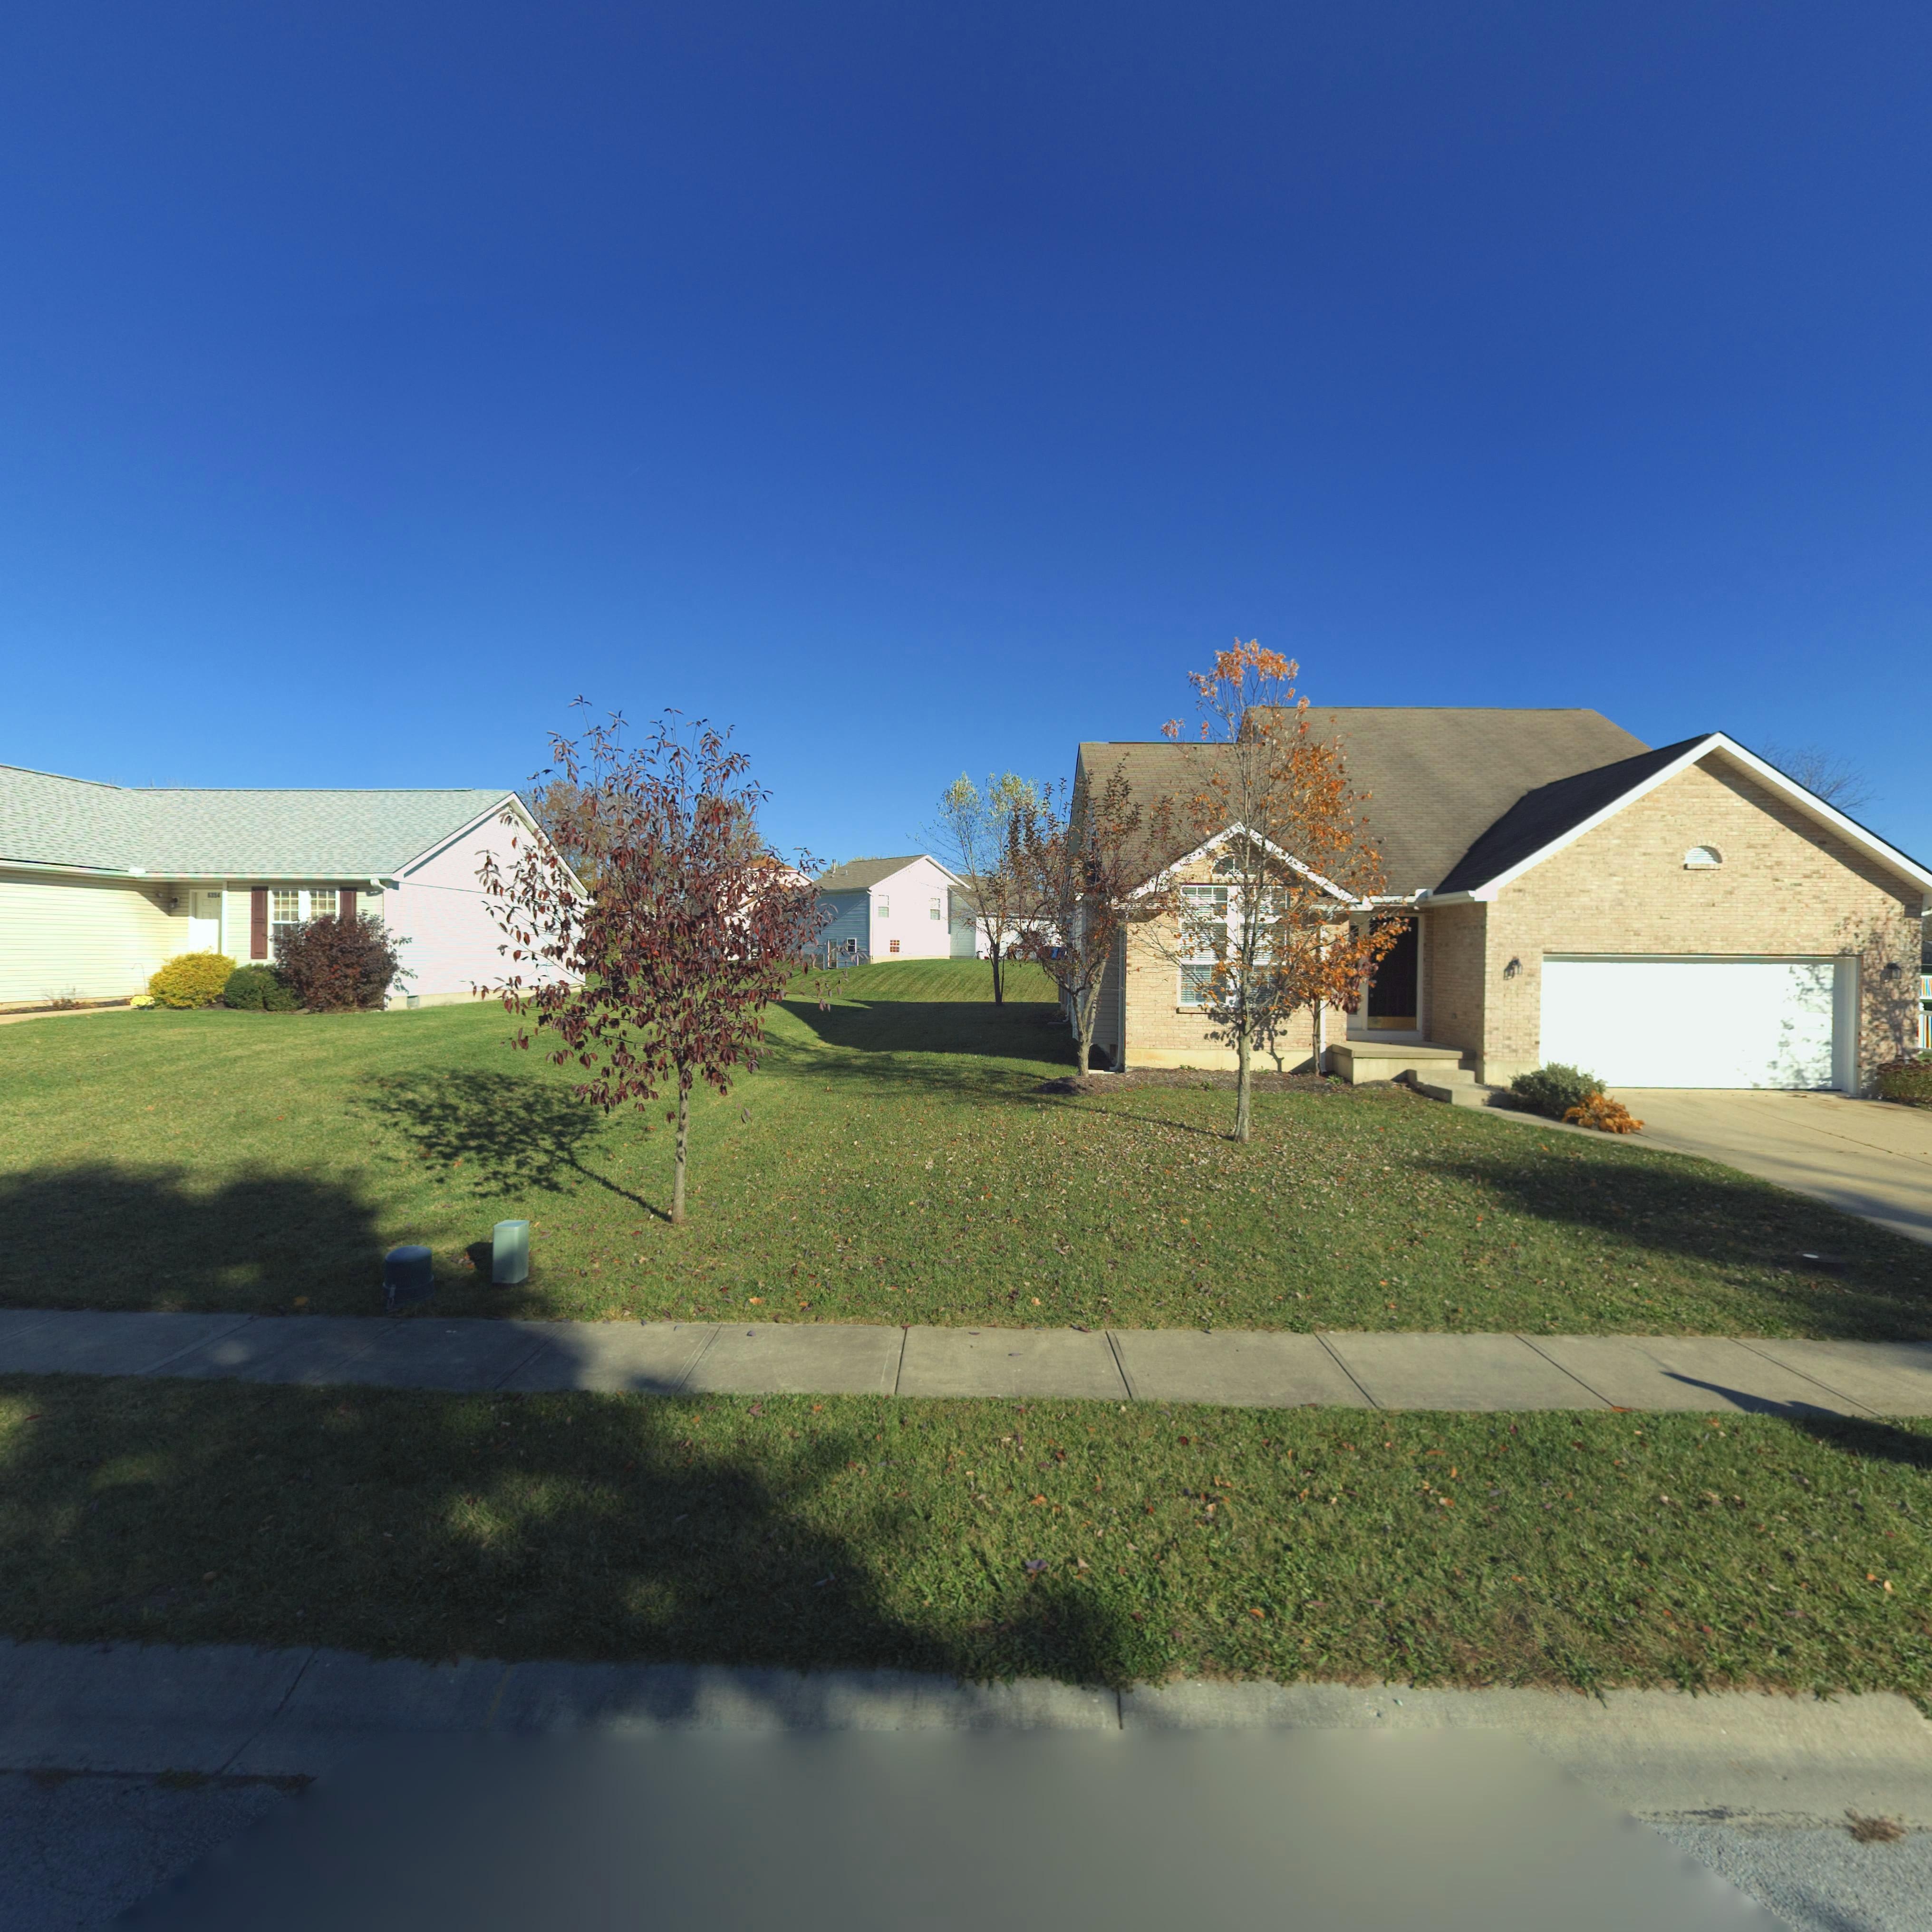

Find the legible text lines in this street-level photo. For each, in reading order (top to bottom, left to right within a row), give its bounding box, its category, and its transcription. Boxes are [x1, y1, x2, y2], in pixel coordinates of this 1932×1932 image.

[207, 891, 220, 898] StreetNumber: 6354